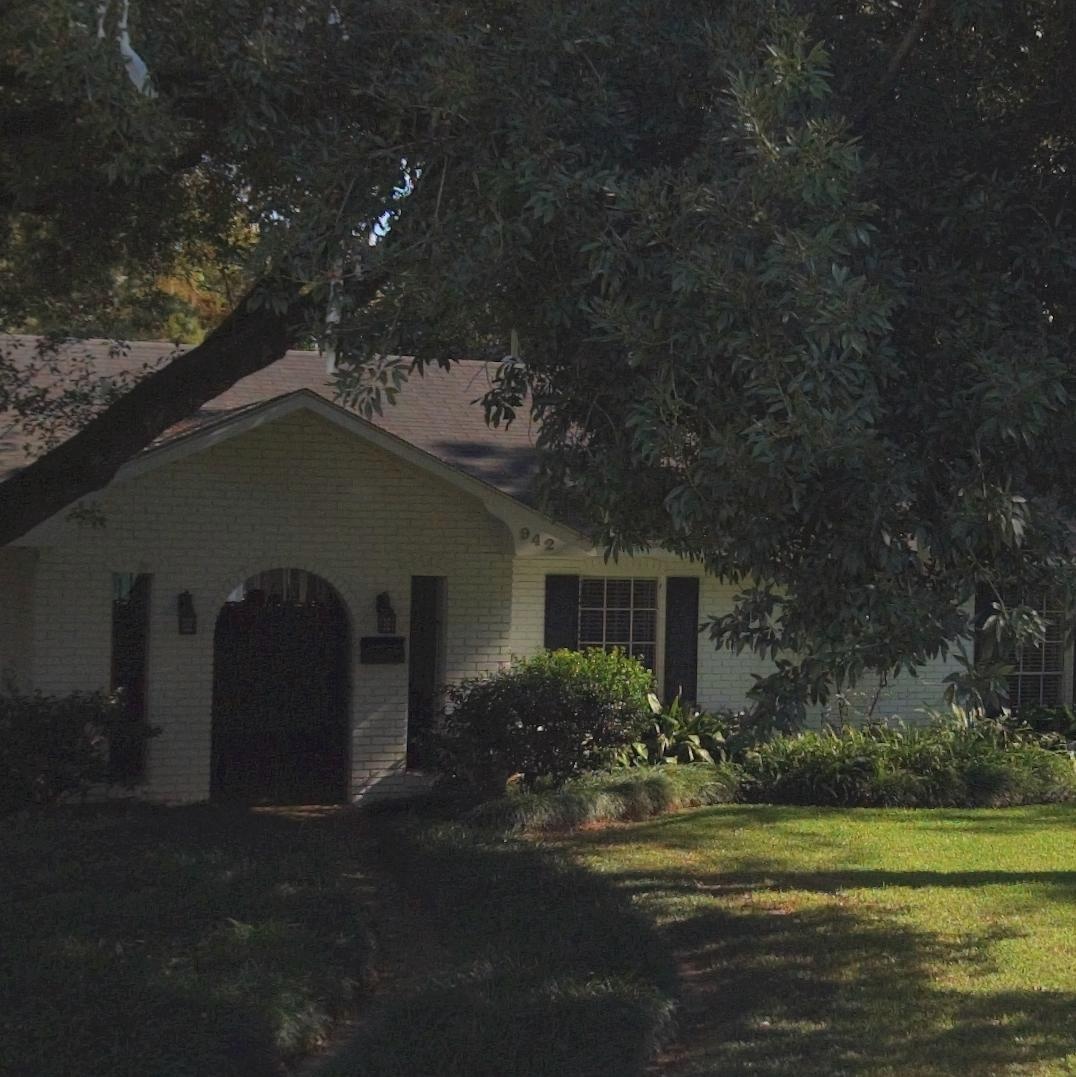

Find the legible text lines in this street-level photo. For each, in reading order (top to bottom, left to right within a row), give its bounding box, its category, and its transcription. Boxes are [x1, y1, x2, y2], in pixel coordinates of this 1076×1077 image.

[520, 527, 557, 553] StreetNumber: 942